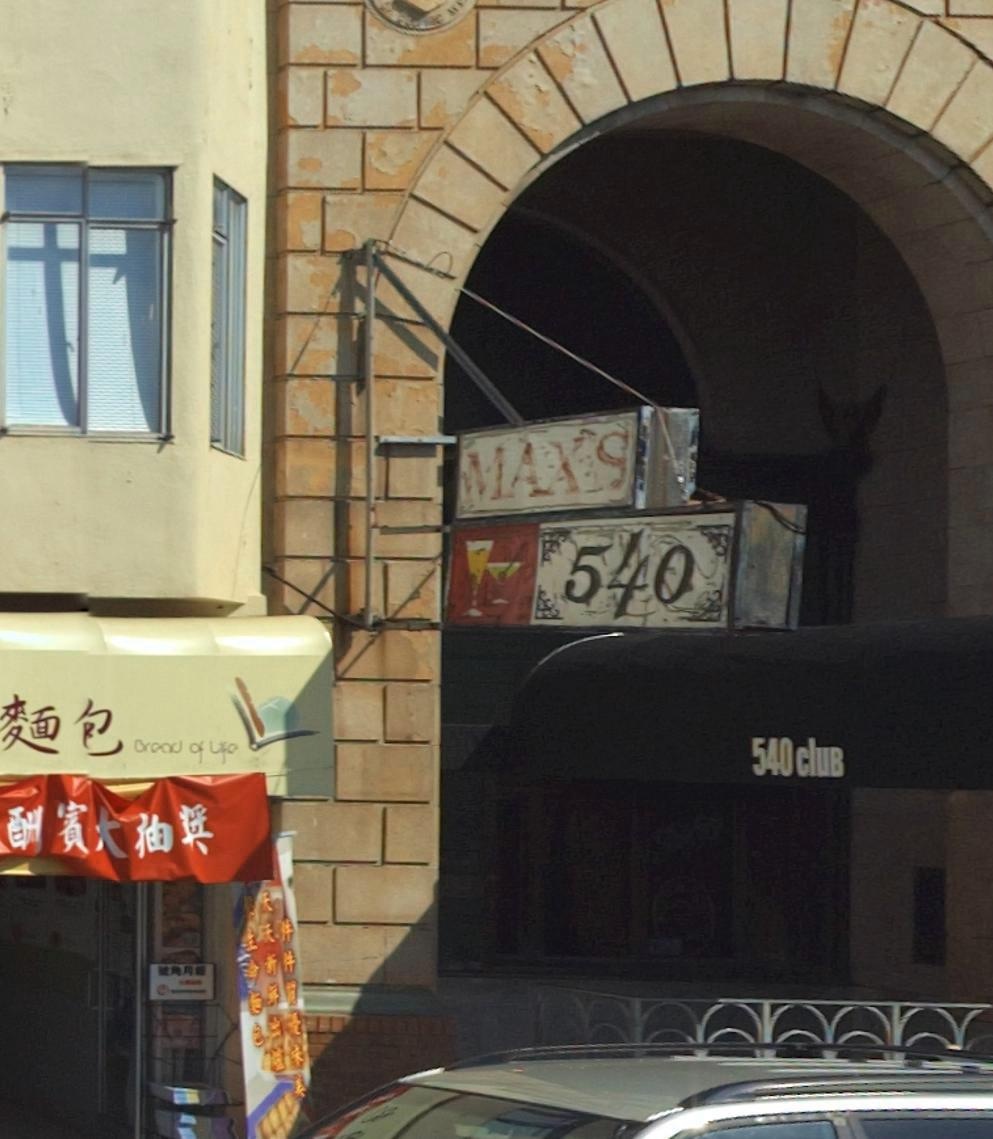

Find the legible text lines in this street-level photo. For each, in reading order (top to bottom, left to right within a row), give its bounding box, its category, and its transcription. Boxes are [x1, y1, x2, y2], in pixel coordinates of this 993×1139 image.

[461, 425, 634, 510] BusinessName: MAX's
[561, 528, 696, 622] StreetNumber: 540
[750, 734, 847, 780] BusinessName: 540 club